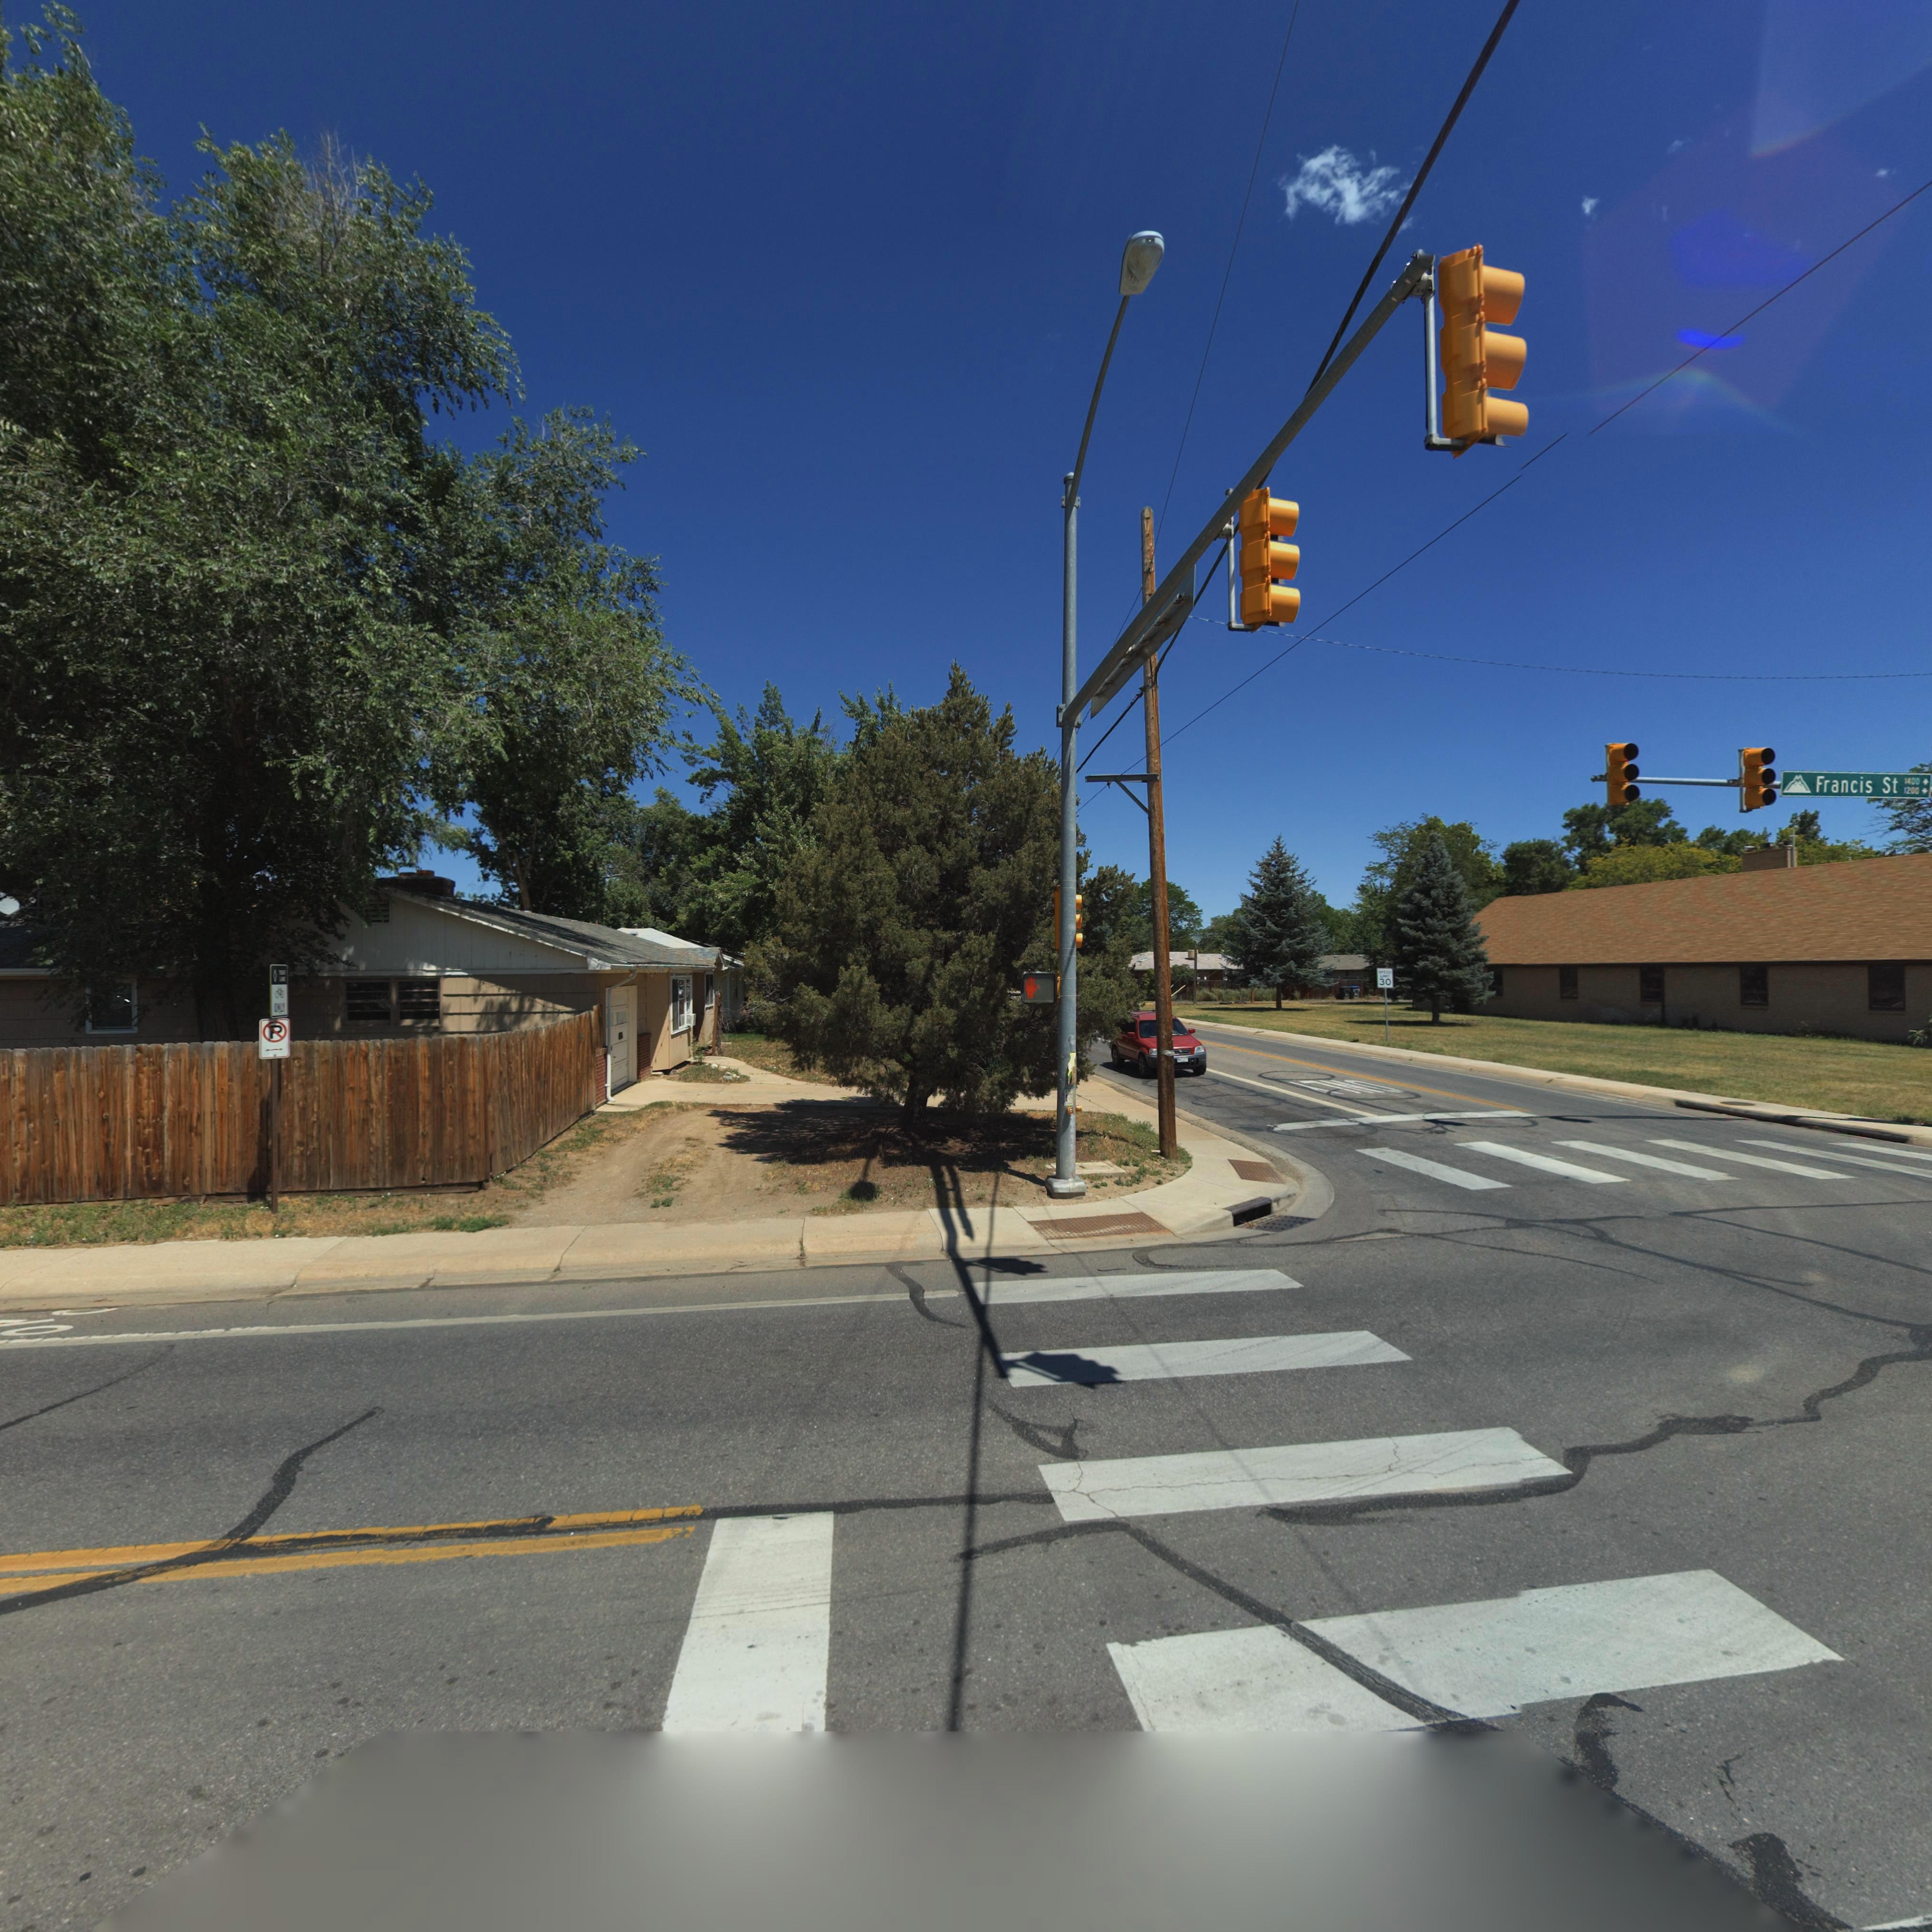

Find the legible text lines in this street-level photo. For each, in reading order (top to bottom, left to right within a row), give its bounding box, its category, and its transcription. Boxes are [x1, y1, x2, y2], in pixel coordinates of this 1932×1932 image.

[1815, 776, 1897, 793] StreetName: Francis St
[1904, 777, 1921, 785] StreetNumberRange: 1400
[1903, 786, 1929, 794] StreetNumberRange: 1200->